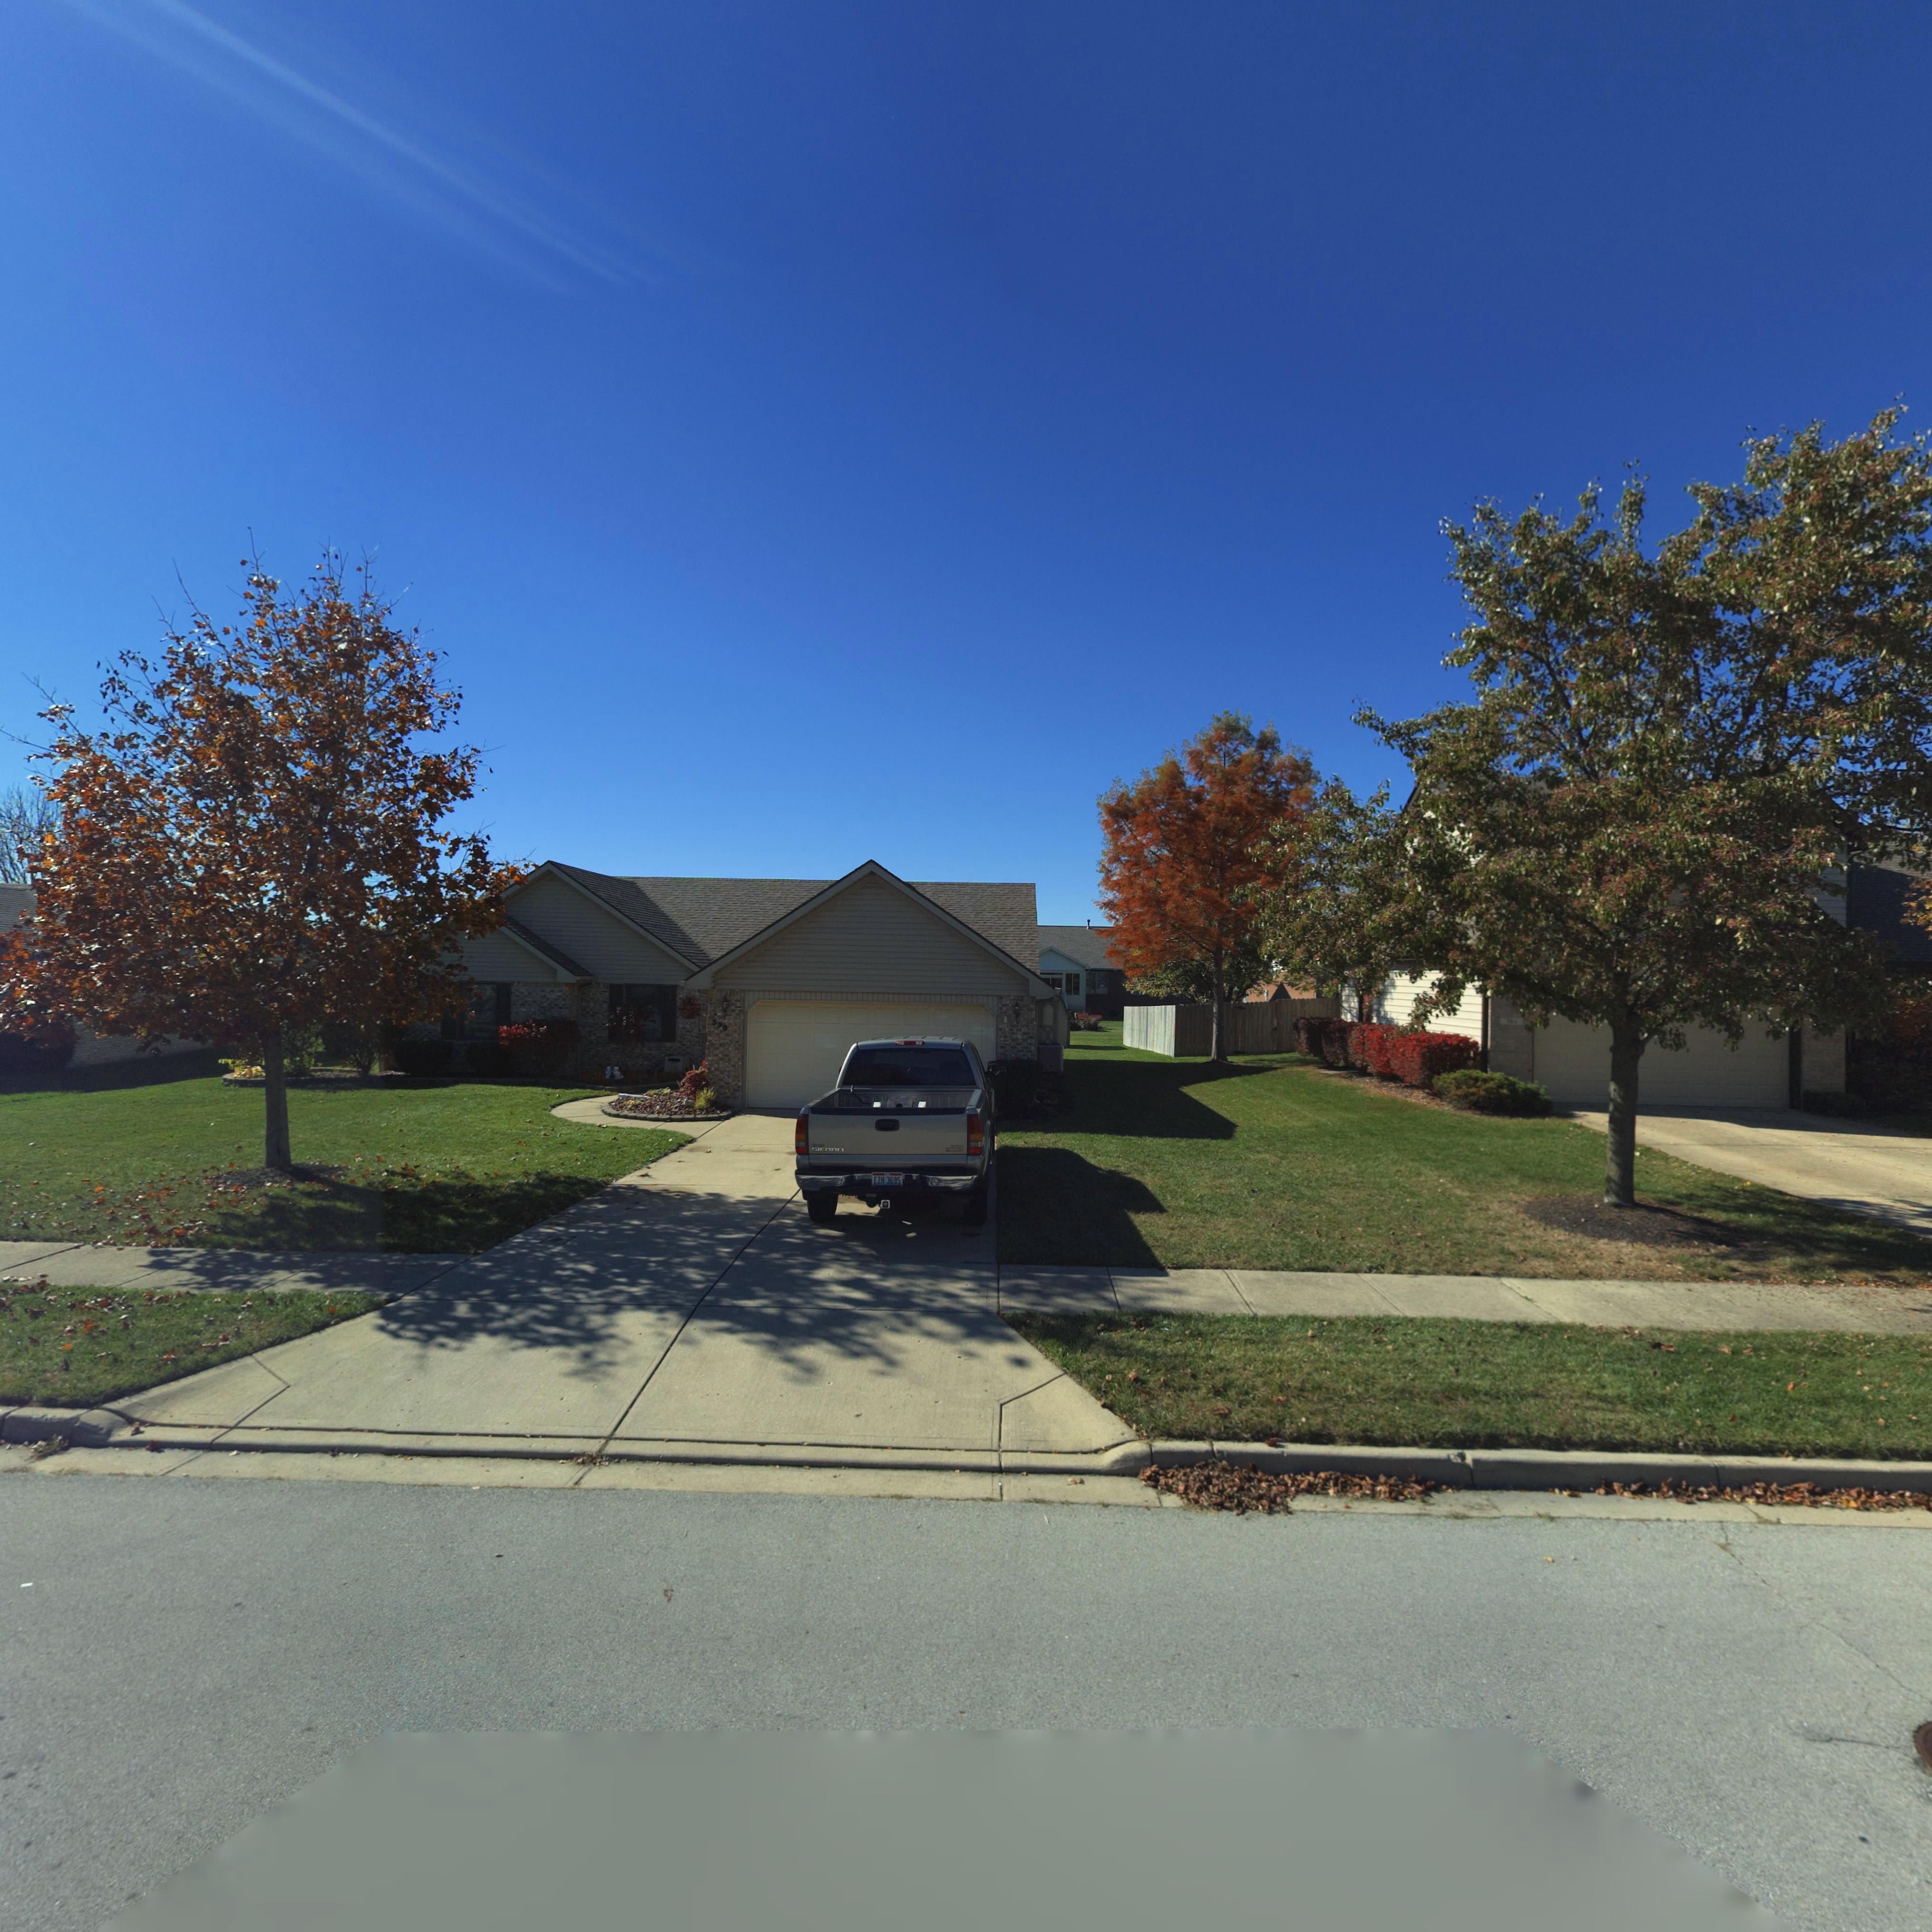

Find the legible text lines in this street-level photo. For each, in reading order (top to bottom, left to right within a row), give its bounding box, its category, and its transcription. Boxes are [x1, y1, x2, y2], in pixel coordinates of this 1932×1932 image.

[711, 1018, 729, 1032] StreetNumber: 359